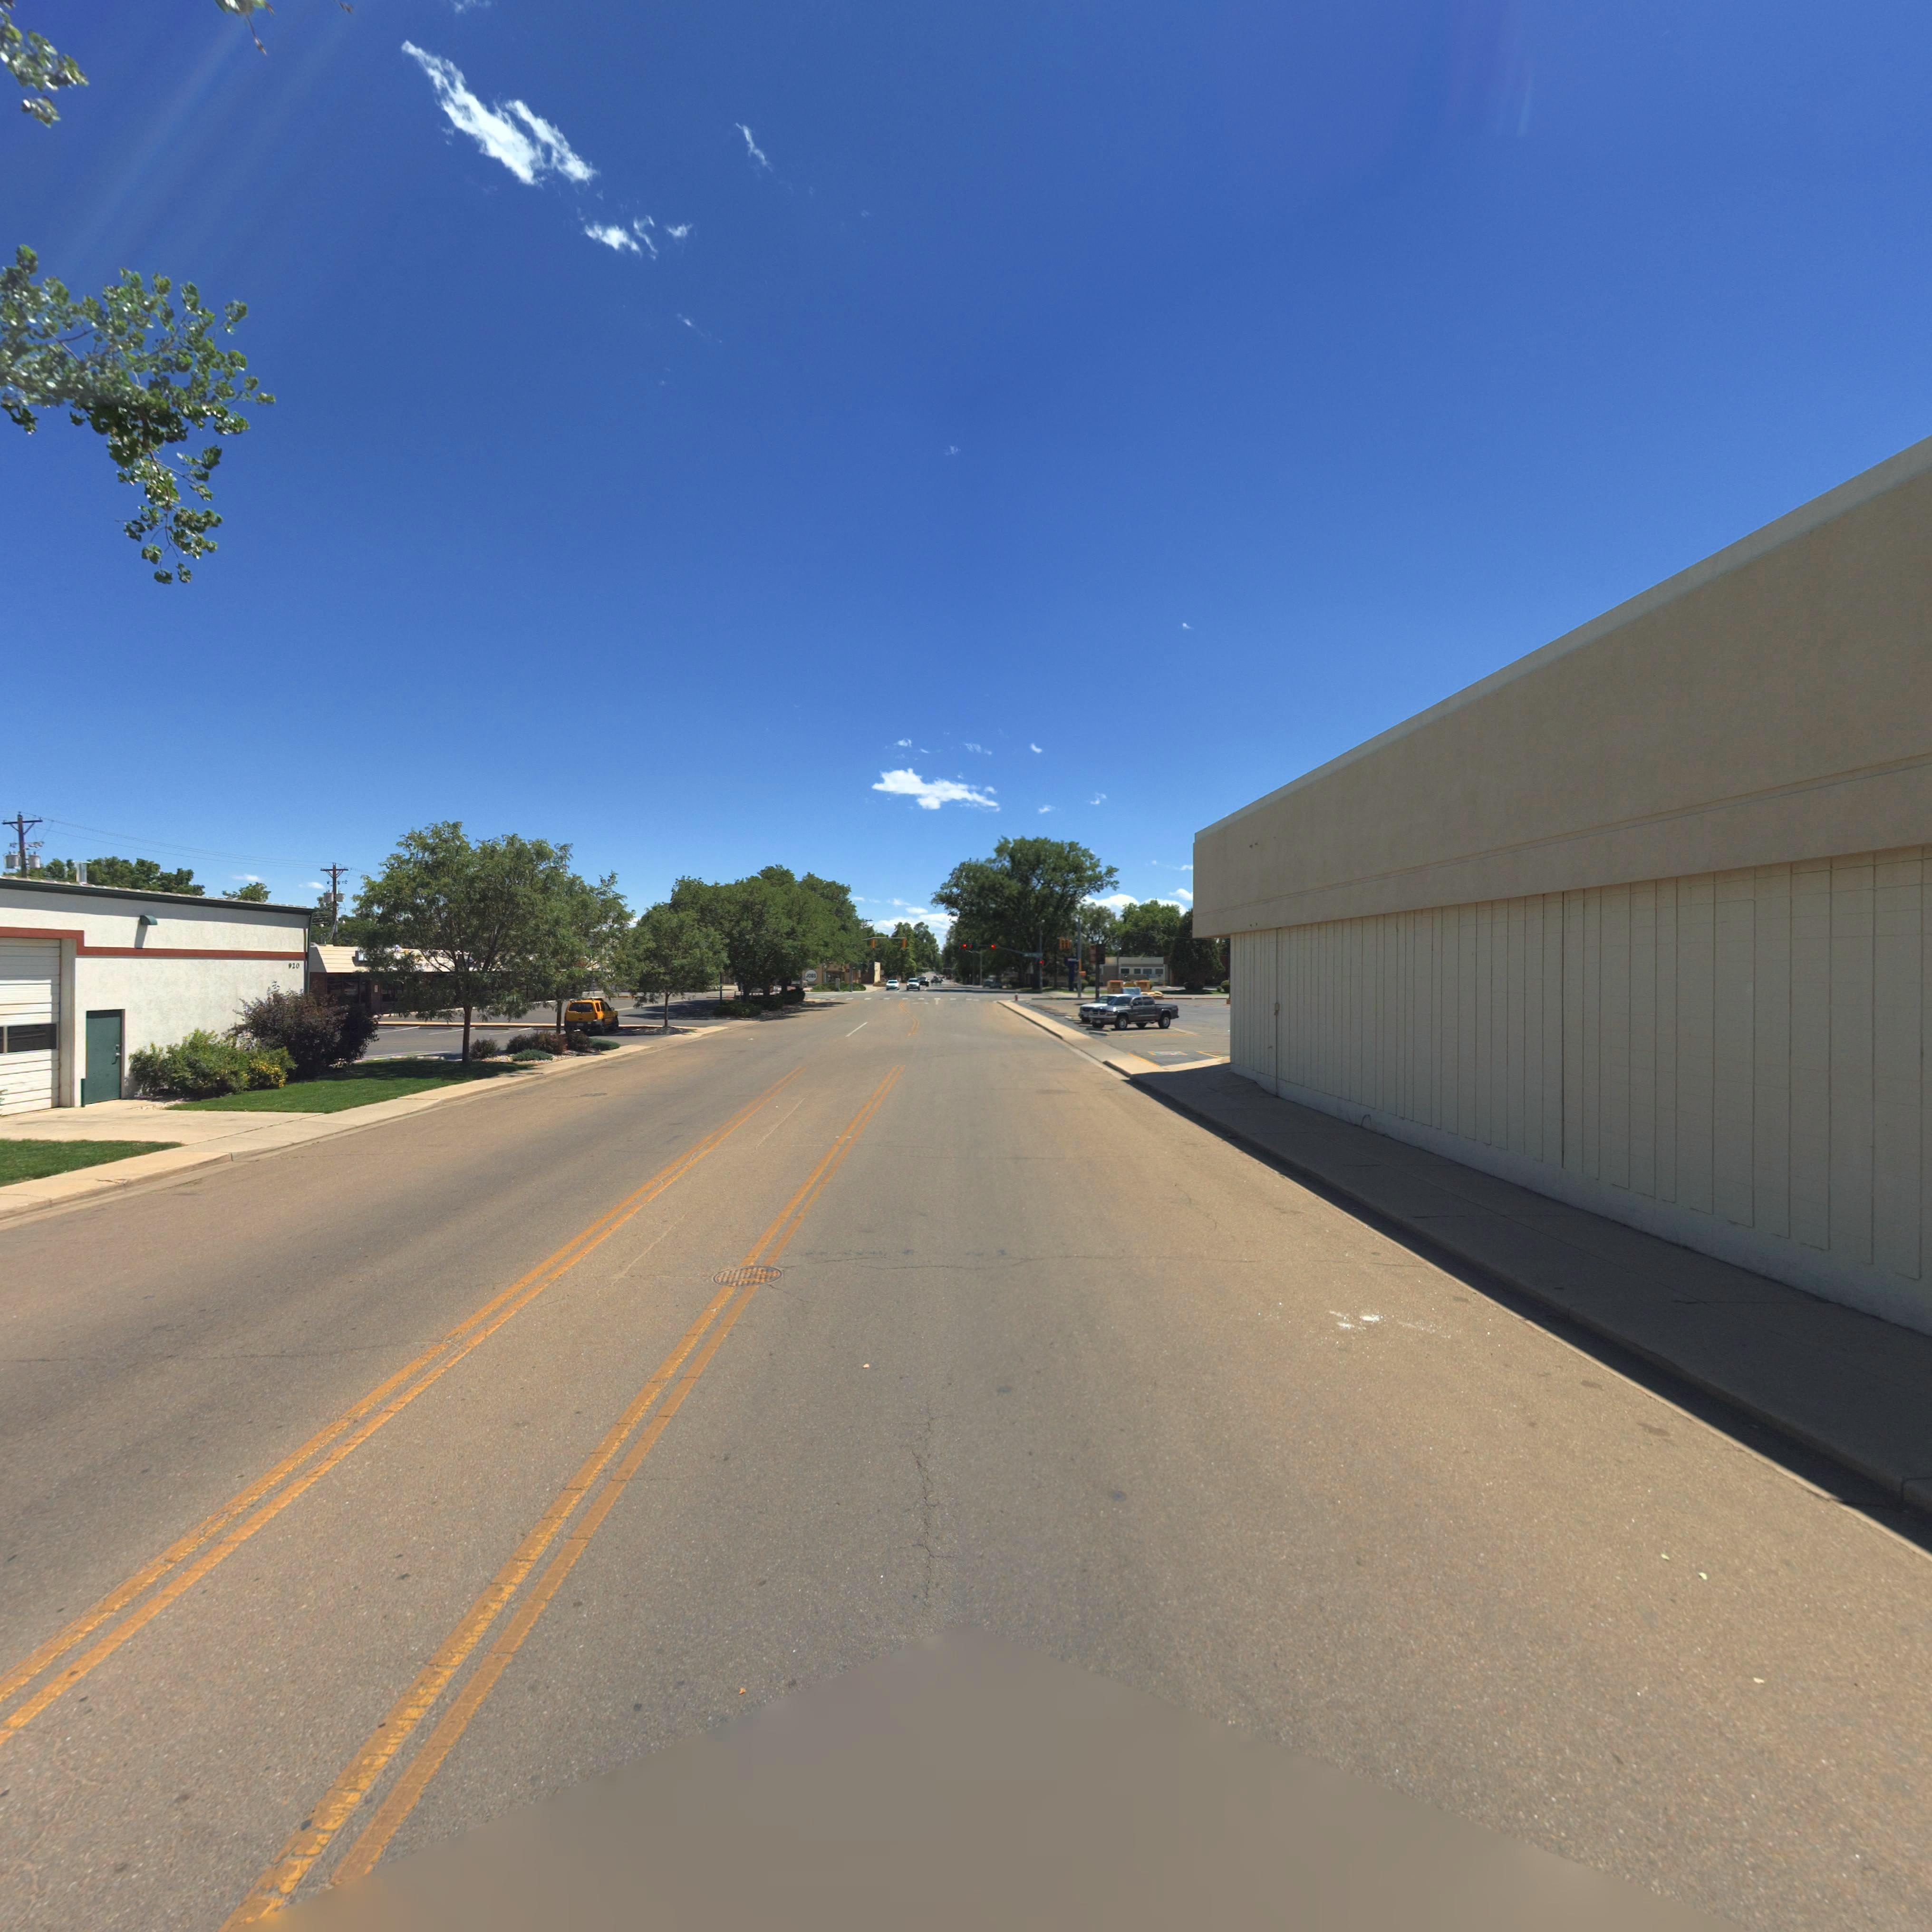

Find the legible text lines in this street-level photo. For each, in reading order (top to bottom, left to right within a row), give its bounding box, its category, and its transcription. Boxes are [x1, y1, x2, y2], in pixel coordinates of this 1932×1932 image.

[1028, 952, 1037, 956] StreetName: 9th Ave
[288, 962, 299, 968] StreetNumber: 920